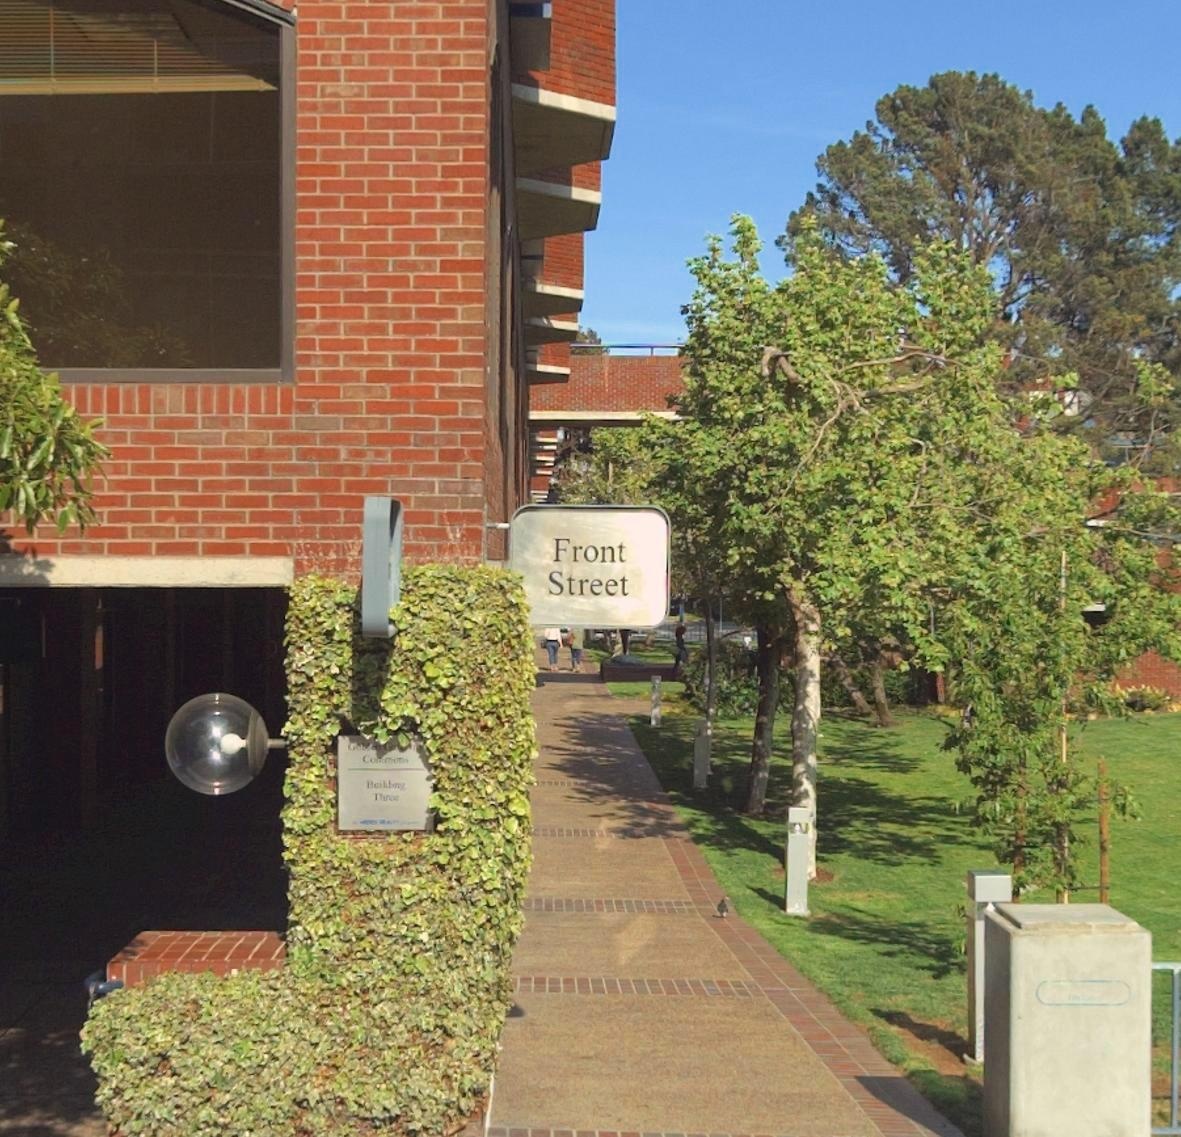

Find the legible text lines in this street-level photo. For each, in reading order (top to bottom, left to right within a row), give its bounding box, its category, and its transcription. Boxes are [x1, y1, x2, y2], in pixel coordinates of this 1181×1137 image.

[550, 535, 629, 566] StreetName: Front Street
[545, 567, 631, 599] StreetName: Street